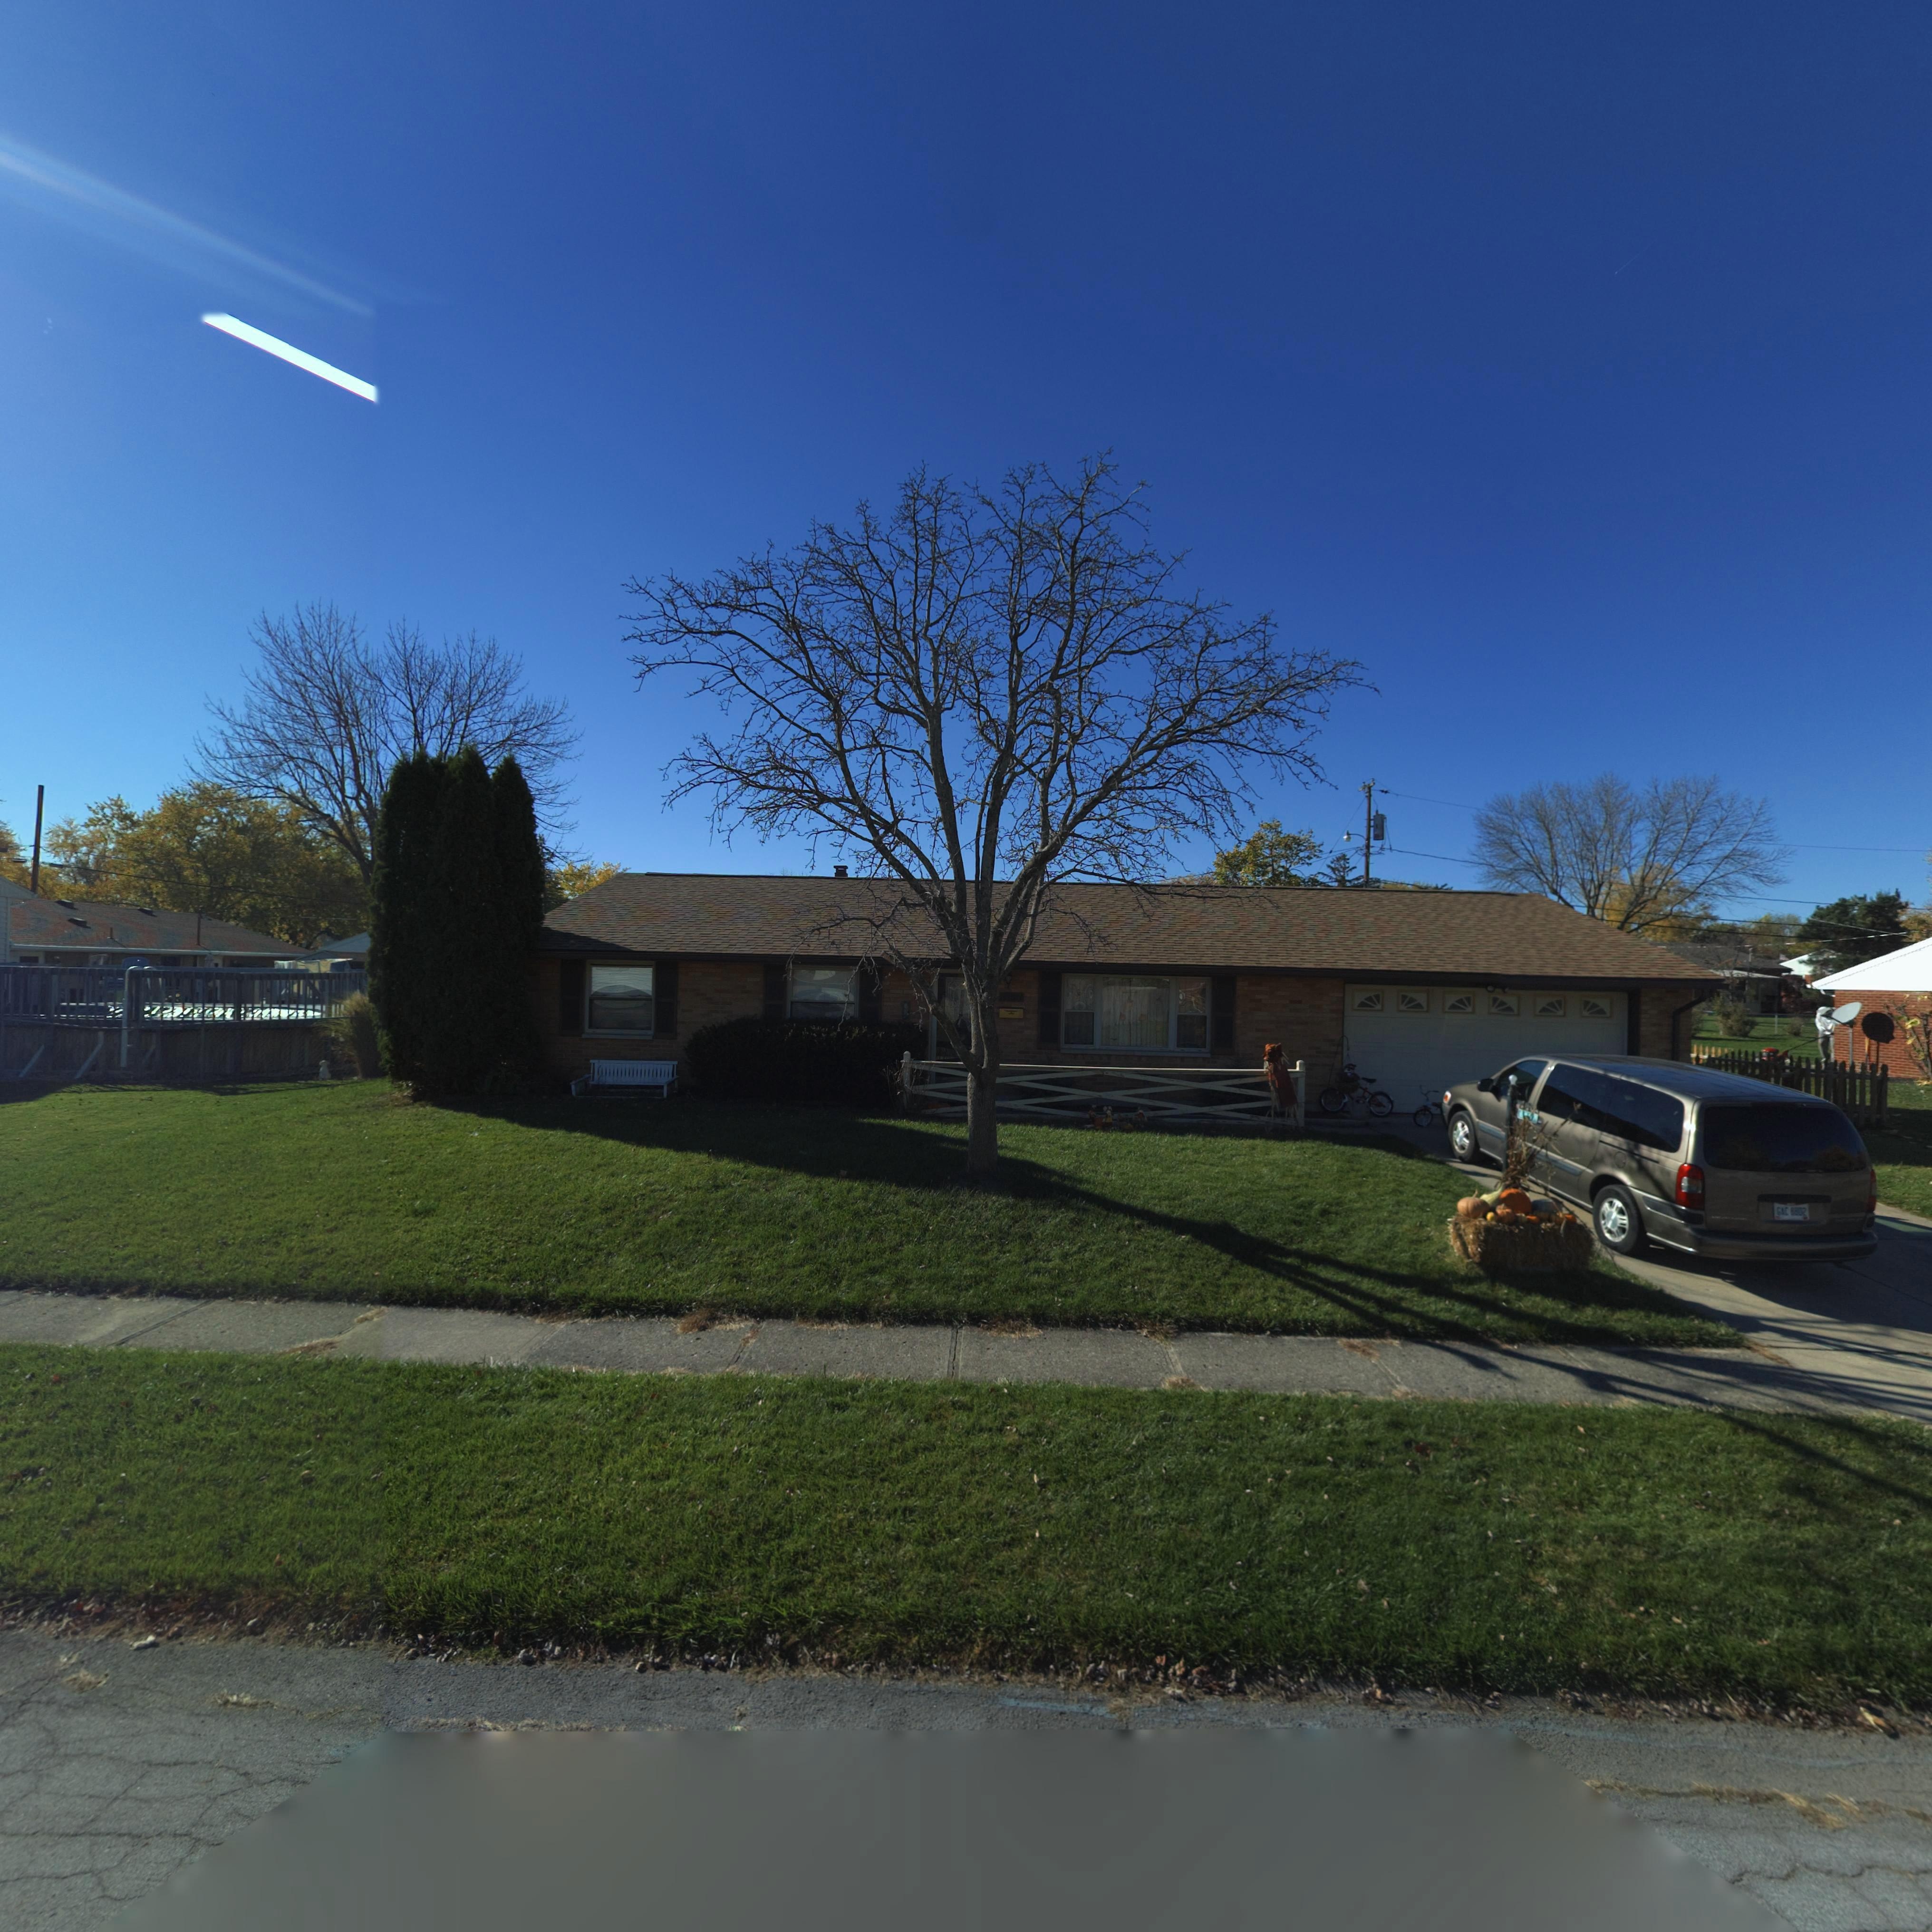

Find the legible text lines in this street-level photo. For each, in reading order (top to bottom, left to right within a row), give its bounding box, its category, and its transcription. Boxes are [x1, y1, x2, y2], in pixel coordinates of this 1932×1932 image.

[903, 1003, 909, 1016] StreetNumber: 6*